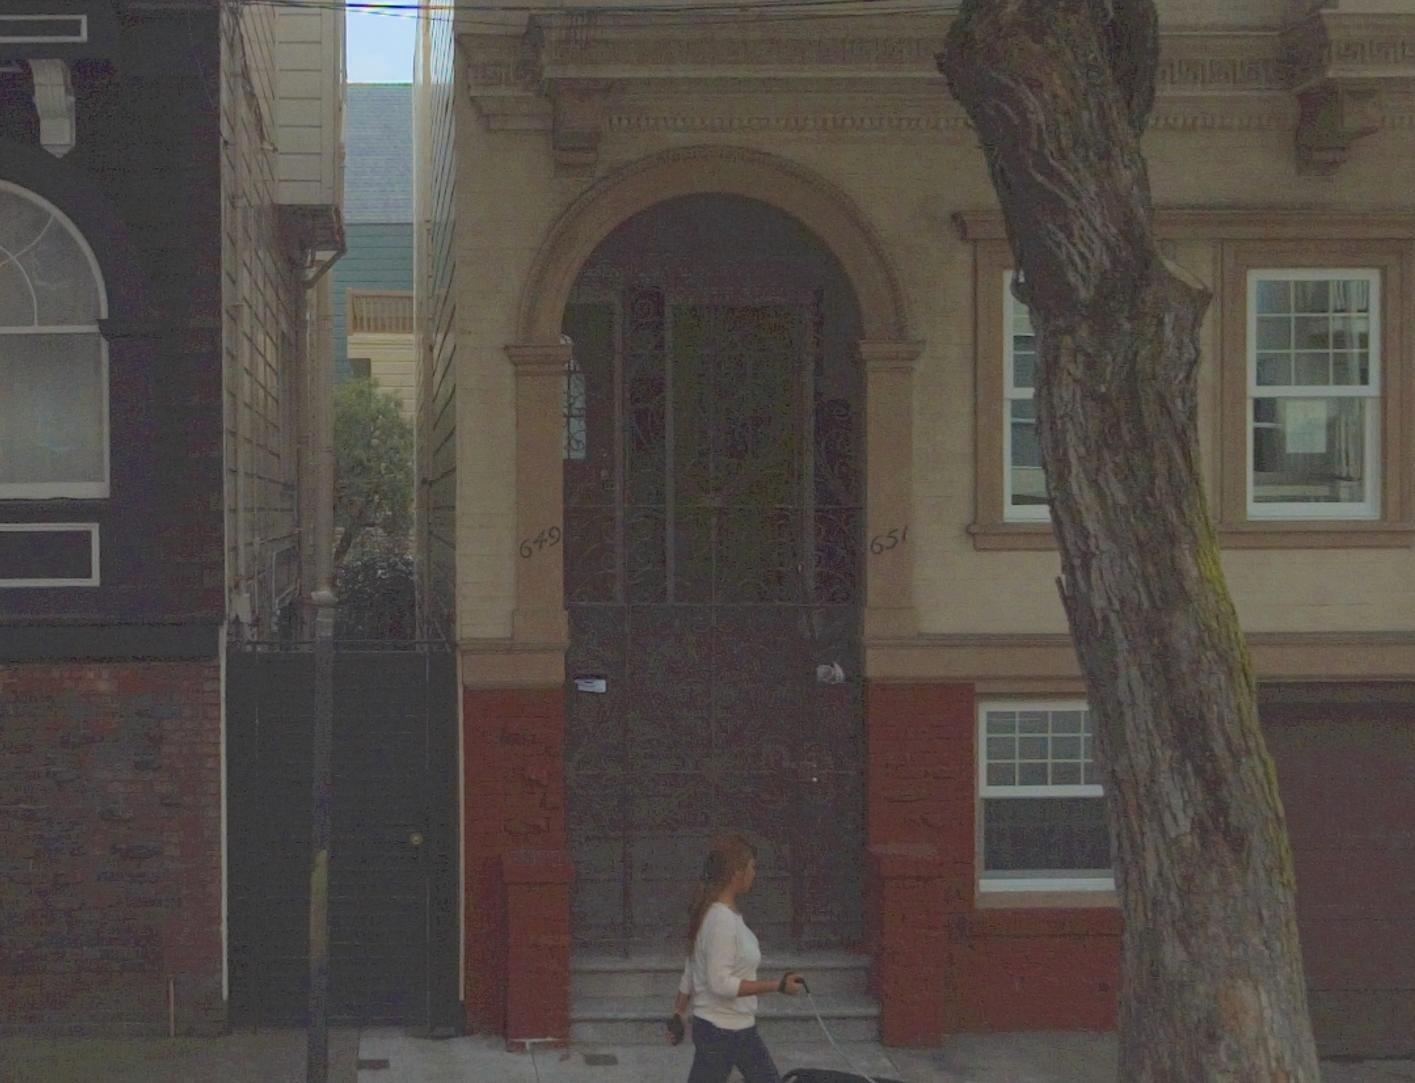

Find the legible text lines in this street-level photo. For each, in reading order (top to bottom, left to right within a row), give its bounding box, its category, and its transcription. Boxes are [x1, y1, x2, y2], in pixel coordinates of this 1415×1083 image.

[518, 523, 564, 563] StreetNumber: 649
[868, 522, 910, 560] StreetNumber: 651